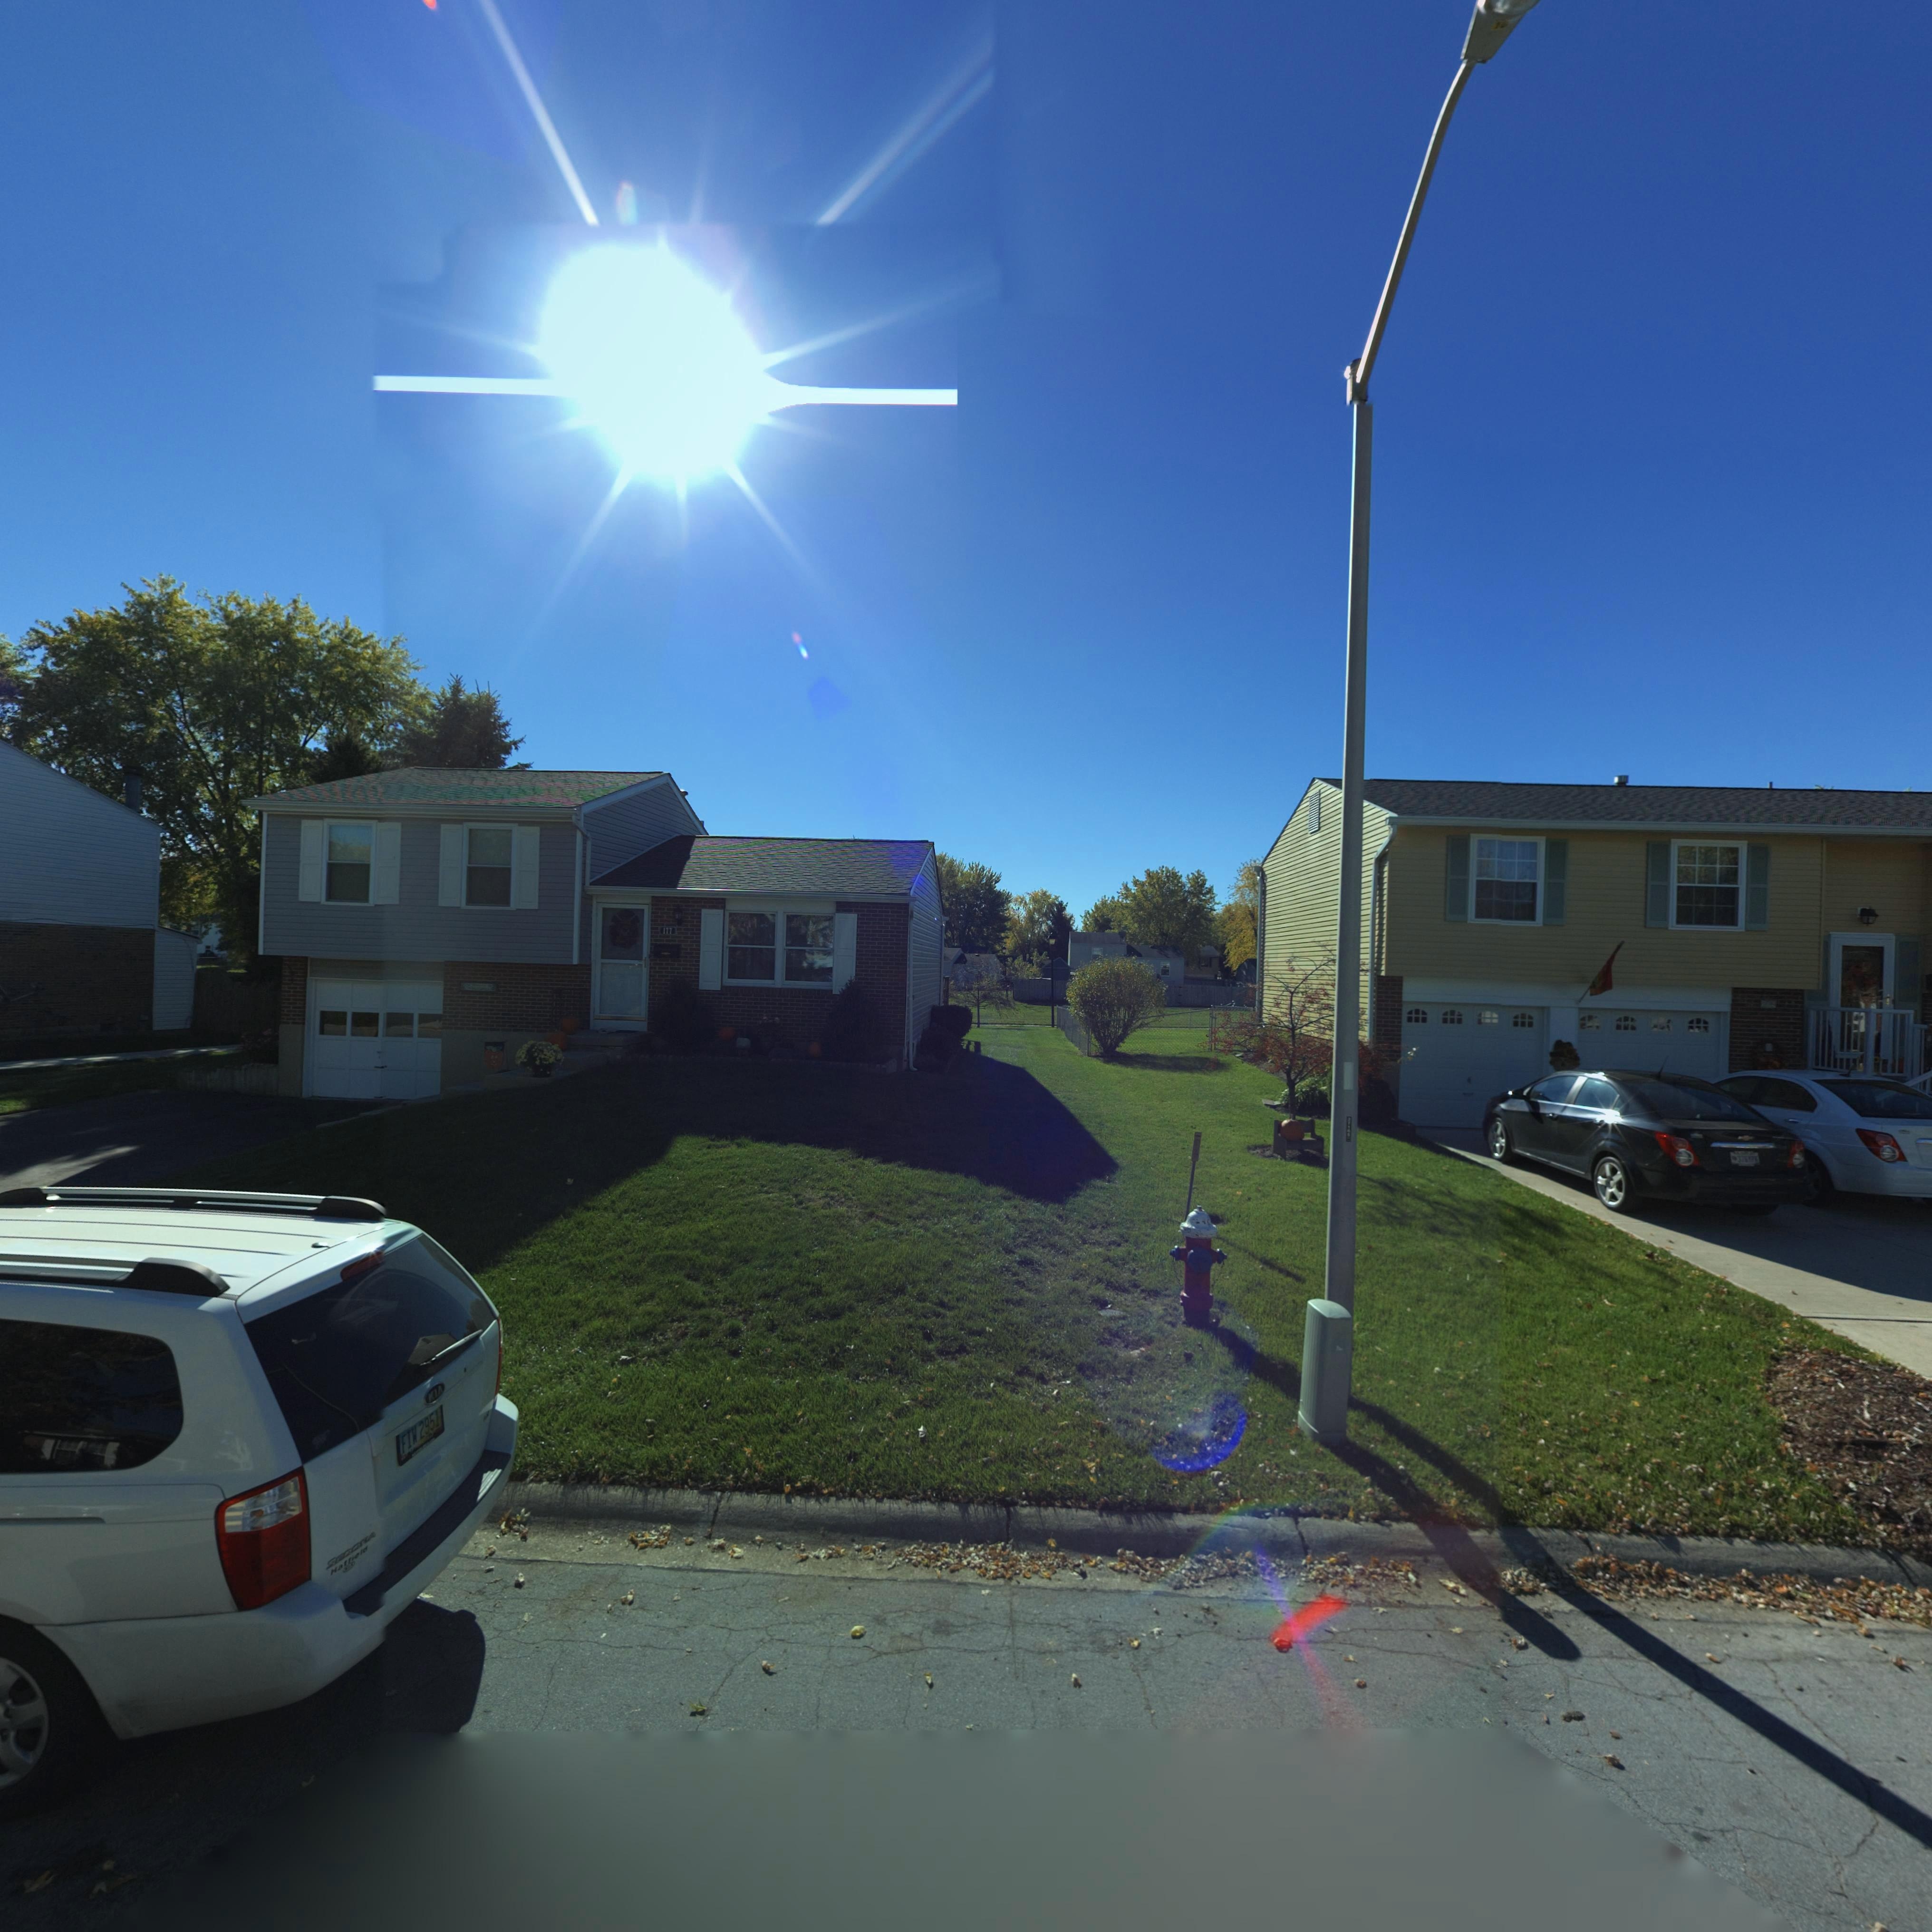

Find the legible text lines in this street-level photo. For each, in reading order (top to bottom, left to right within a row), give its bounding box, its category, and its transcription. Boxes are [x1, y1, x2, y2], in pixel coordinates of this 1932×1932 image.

[662, 927, 674, 935] StreetNumber: 177